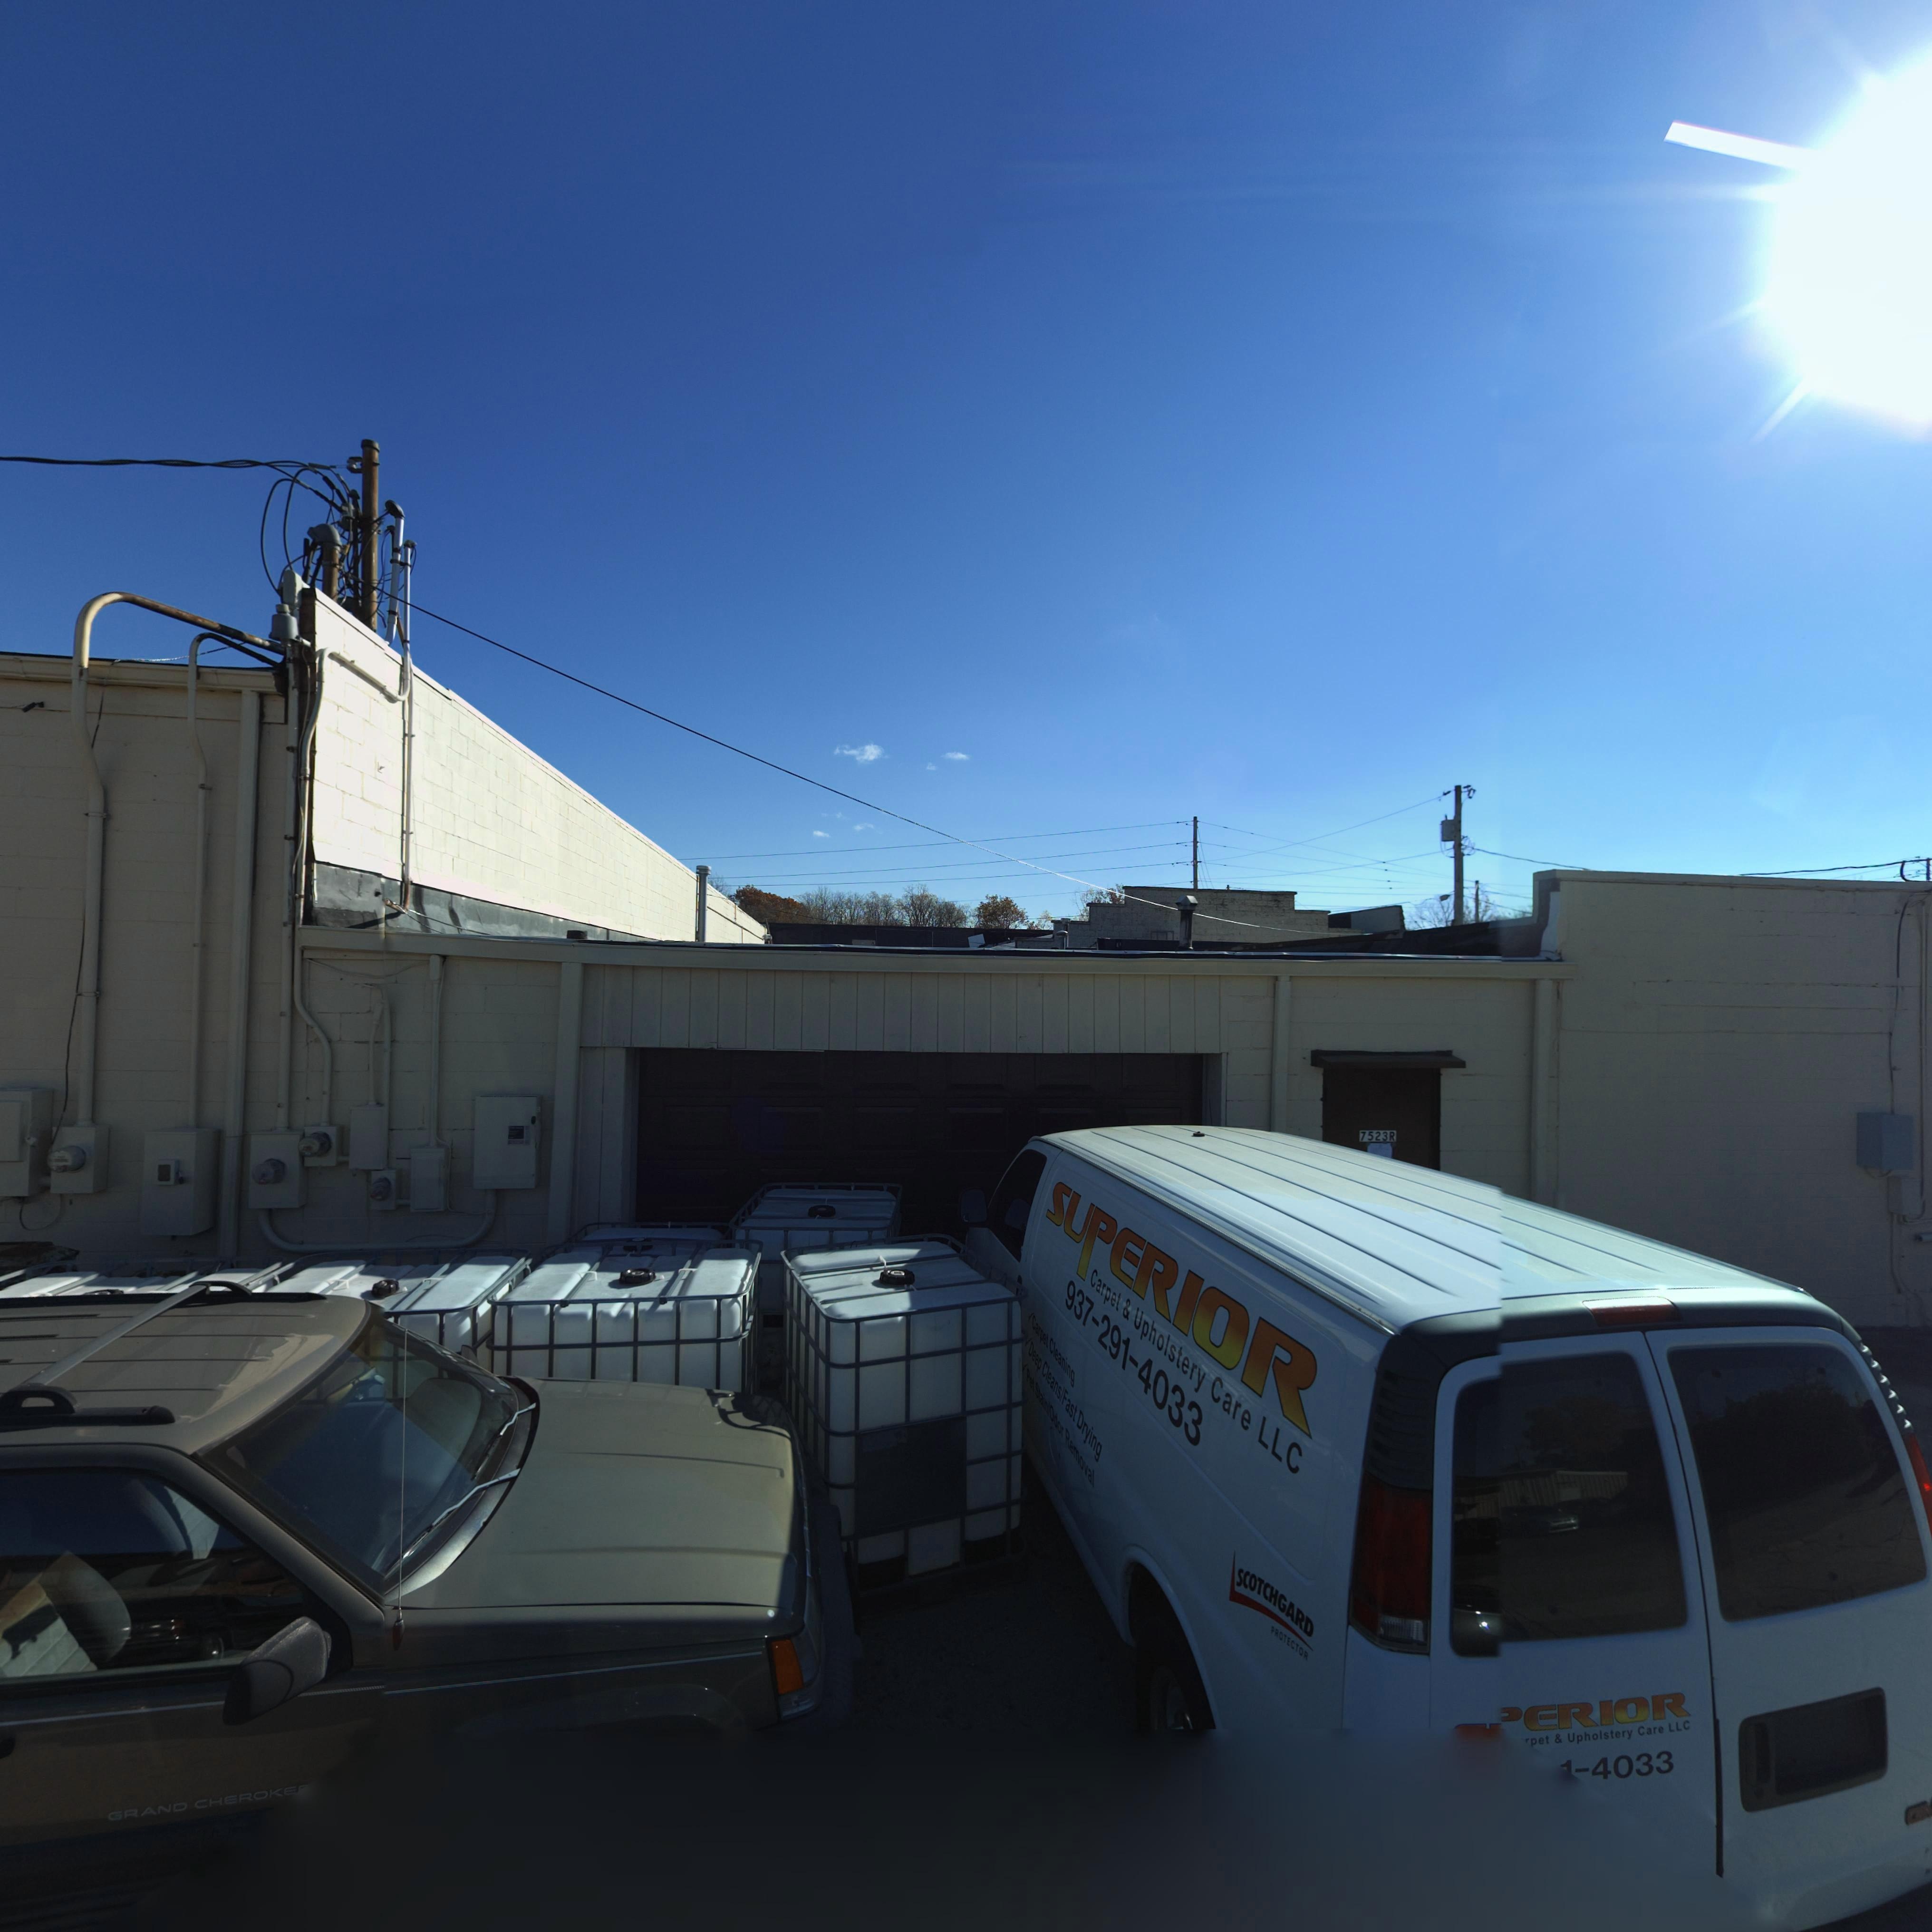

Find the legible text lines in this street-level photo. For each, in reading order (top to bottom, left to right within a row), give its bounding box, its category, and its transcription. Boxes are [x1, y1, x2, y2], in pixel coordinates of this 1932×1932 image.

[1360, 1130, 1389, 1141] StreetNumber: 7523